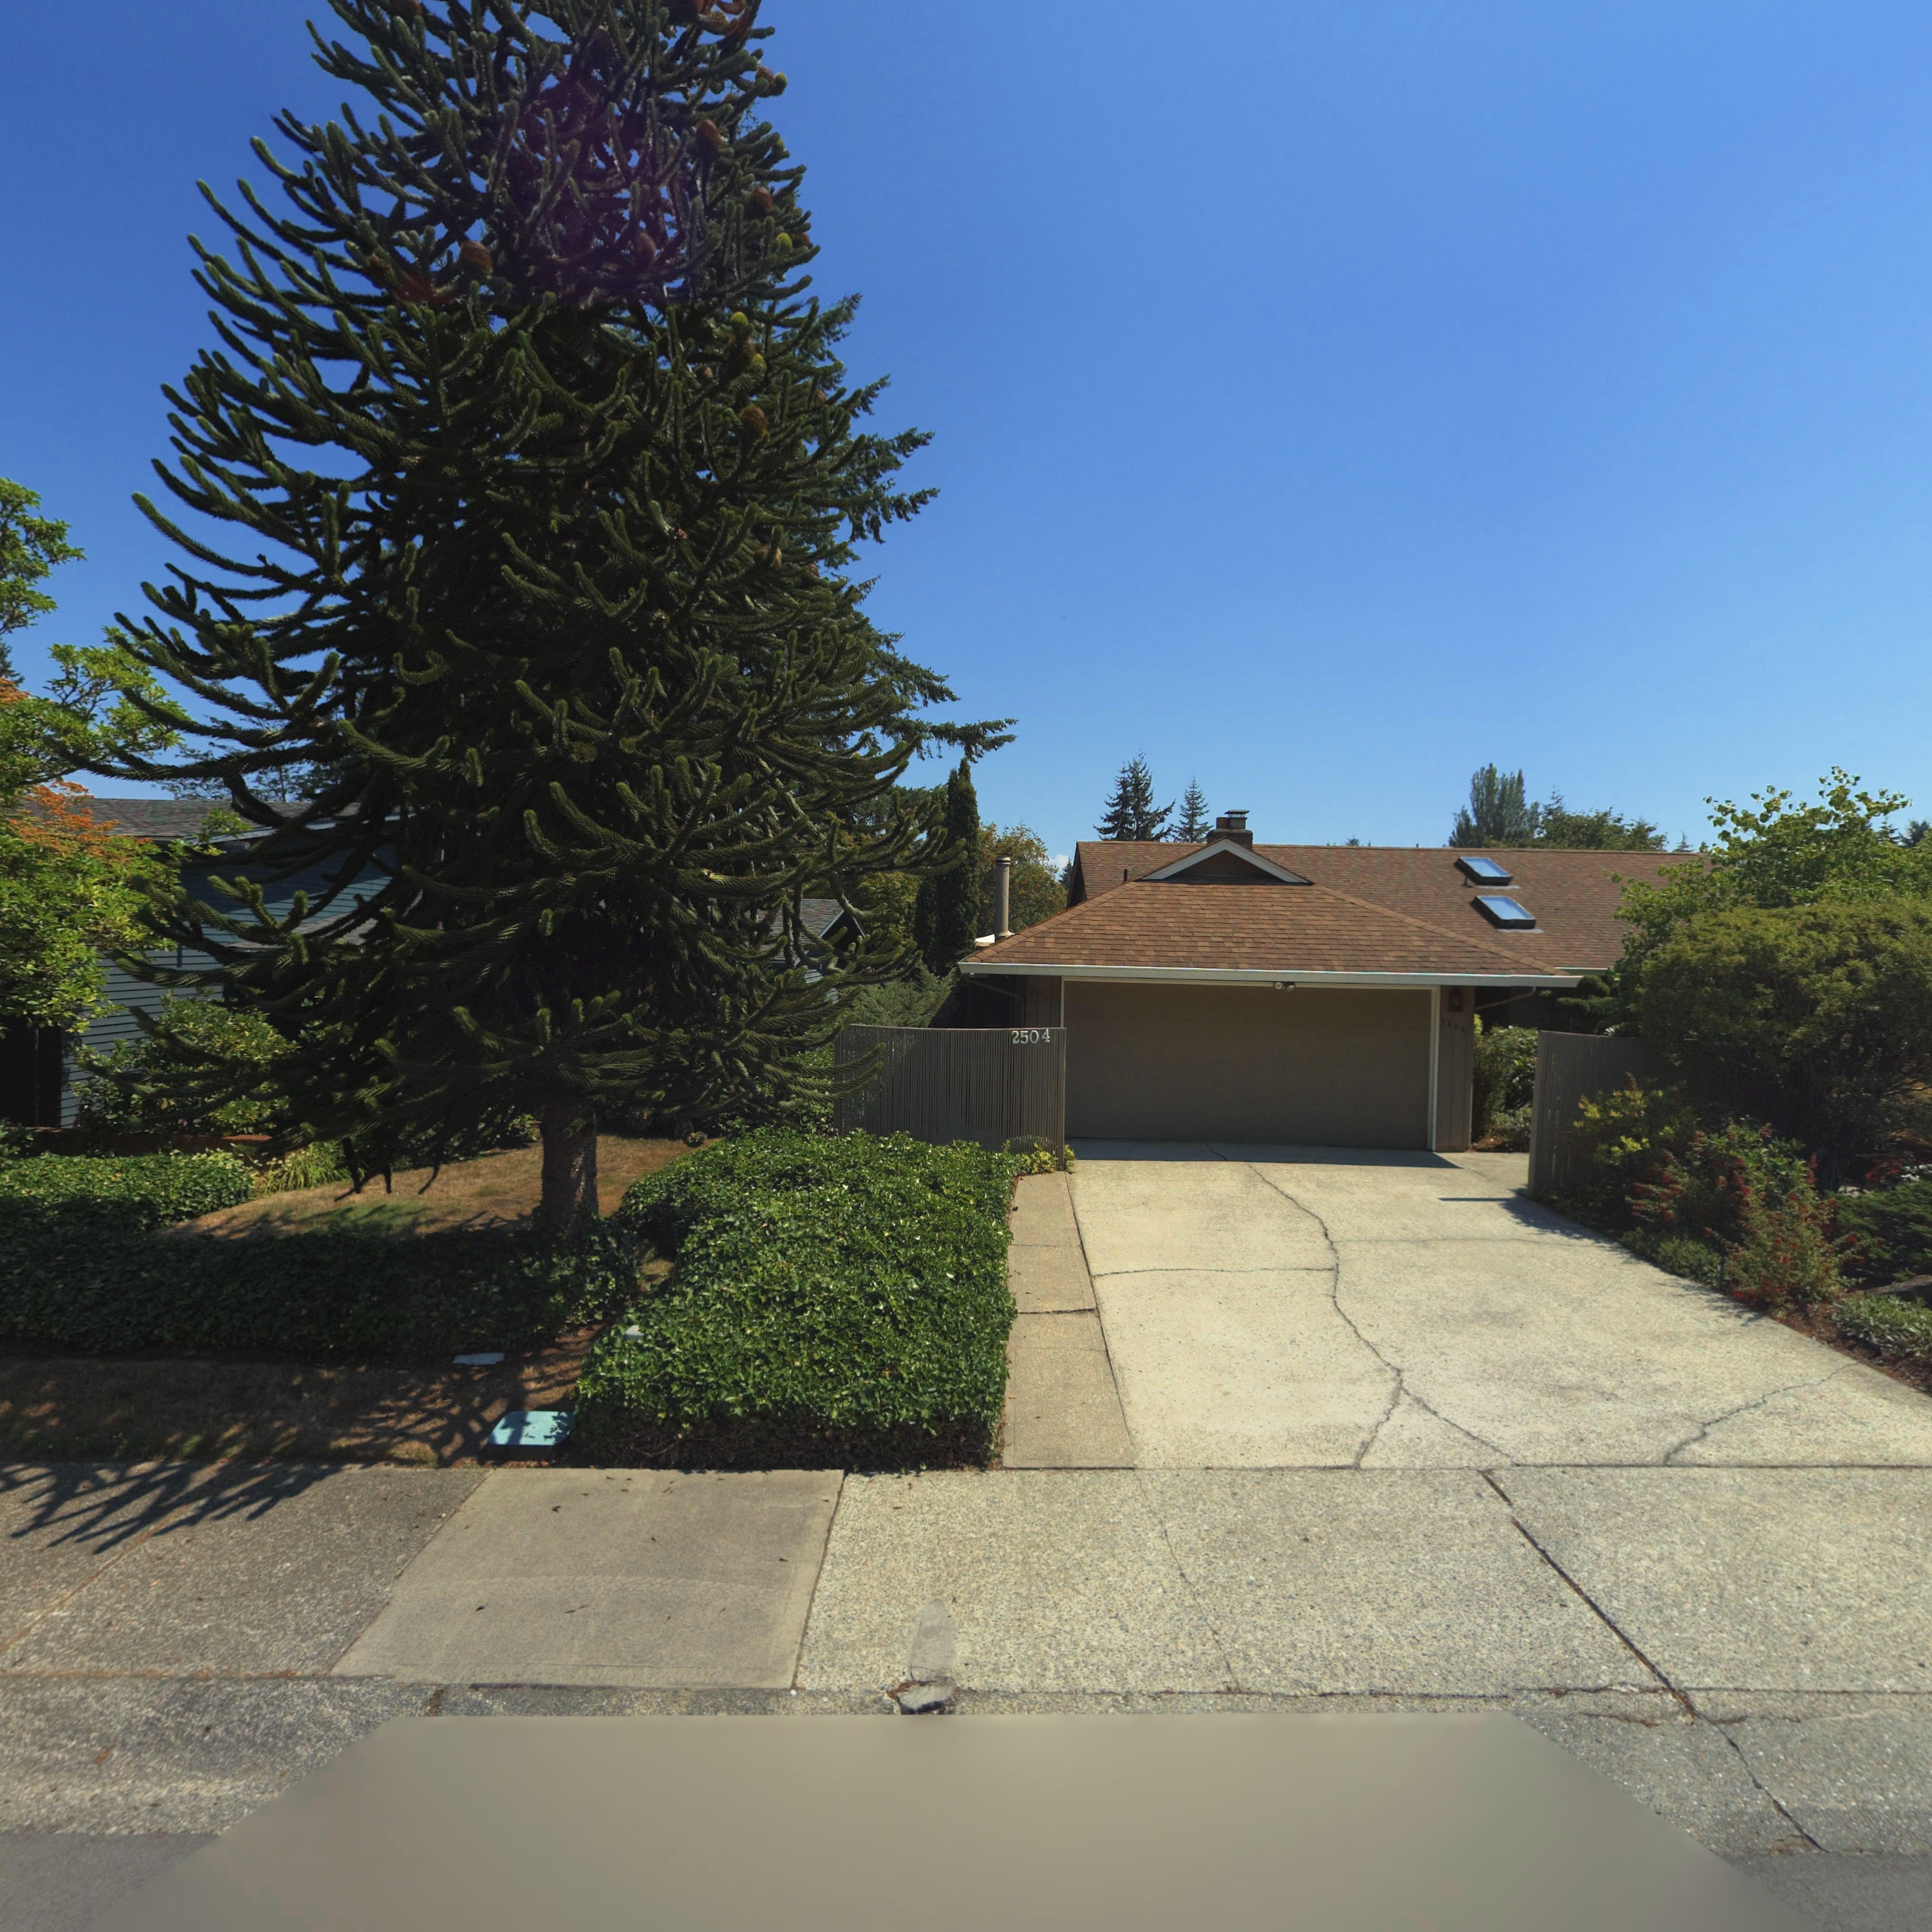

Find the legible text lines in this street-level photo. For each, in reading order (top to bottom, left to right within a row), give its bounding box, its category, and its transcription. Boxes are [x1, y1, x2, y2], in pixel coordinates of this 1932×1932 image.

[1012, 1029, 1050, 1044] StreetNumber: 2504